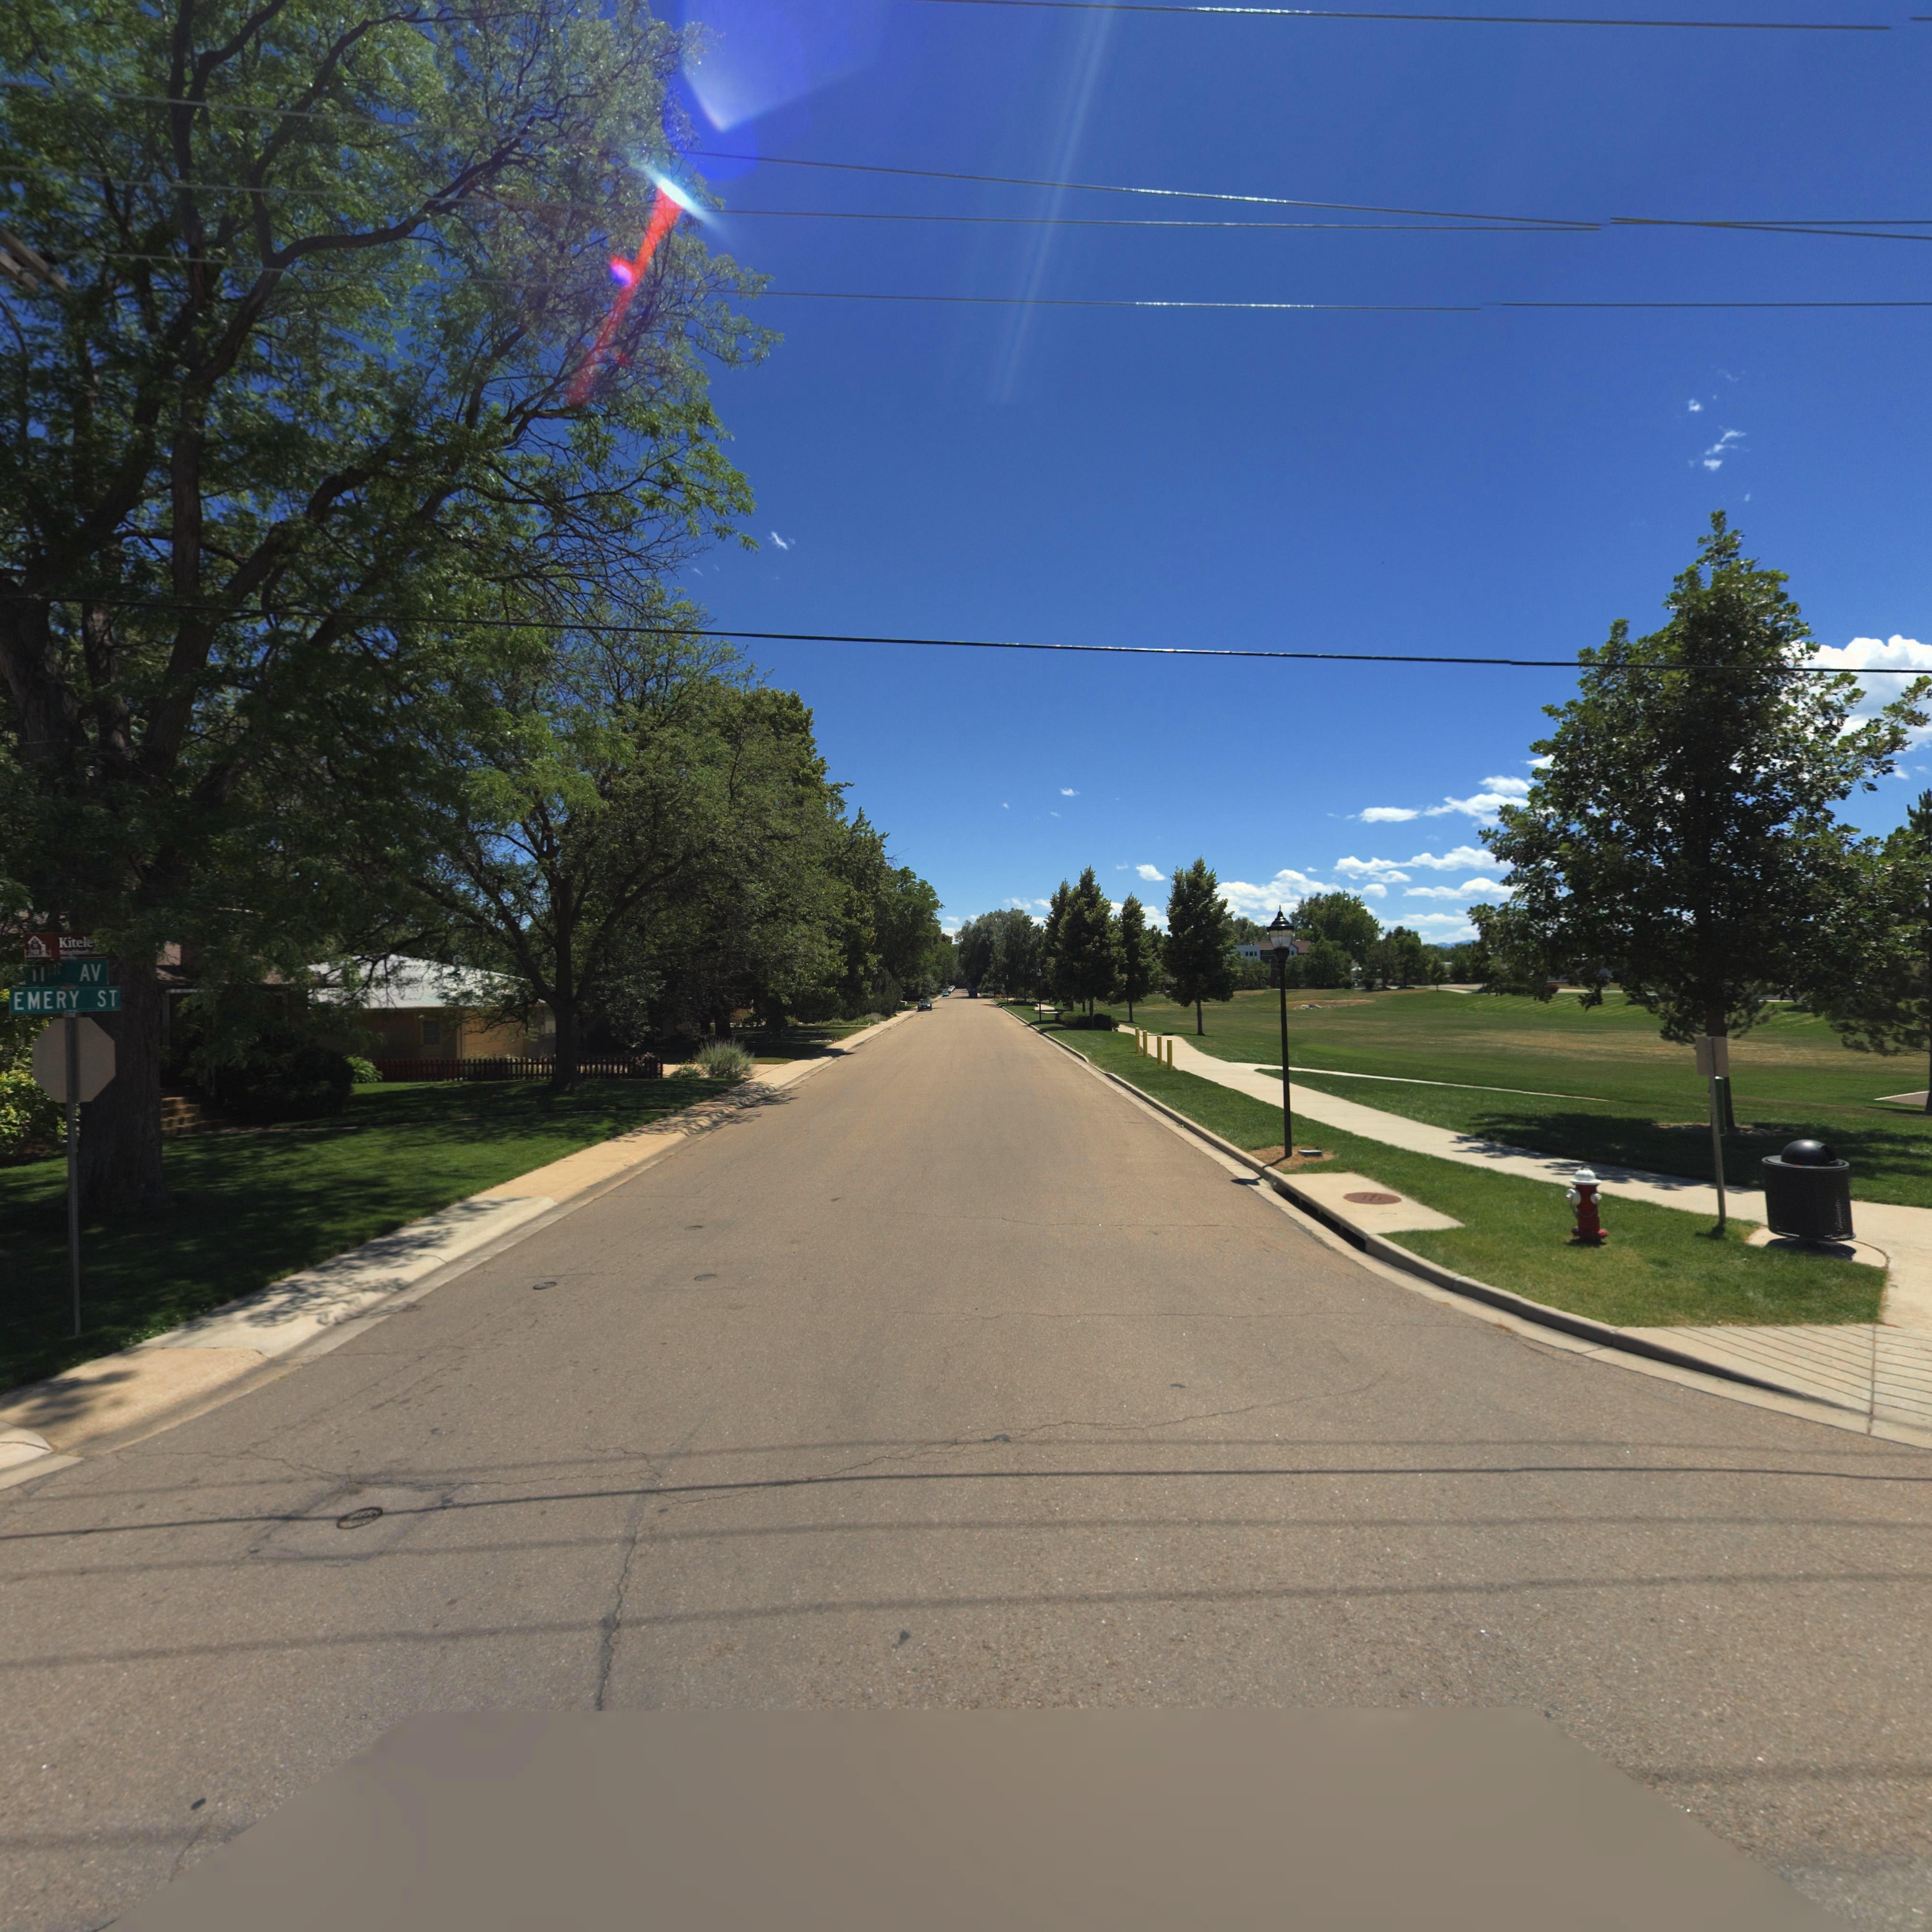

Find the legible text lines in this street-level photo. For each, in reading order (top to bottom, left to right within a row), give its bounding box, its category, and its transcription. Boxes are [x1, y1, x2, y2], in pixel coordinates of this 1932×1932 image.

[32, 964, 102, 982] StreetName: 11TH AV
[14, 990, 118, 1010] StreetName: EMERY ST